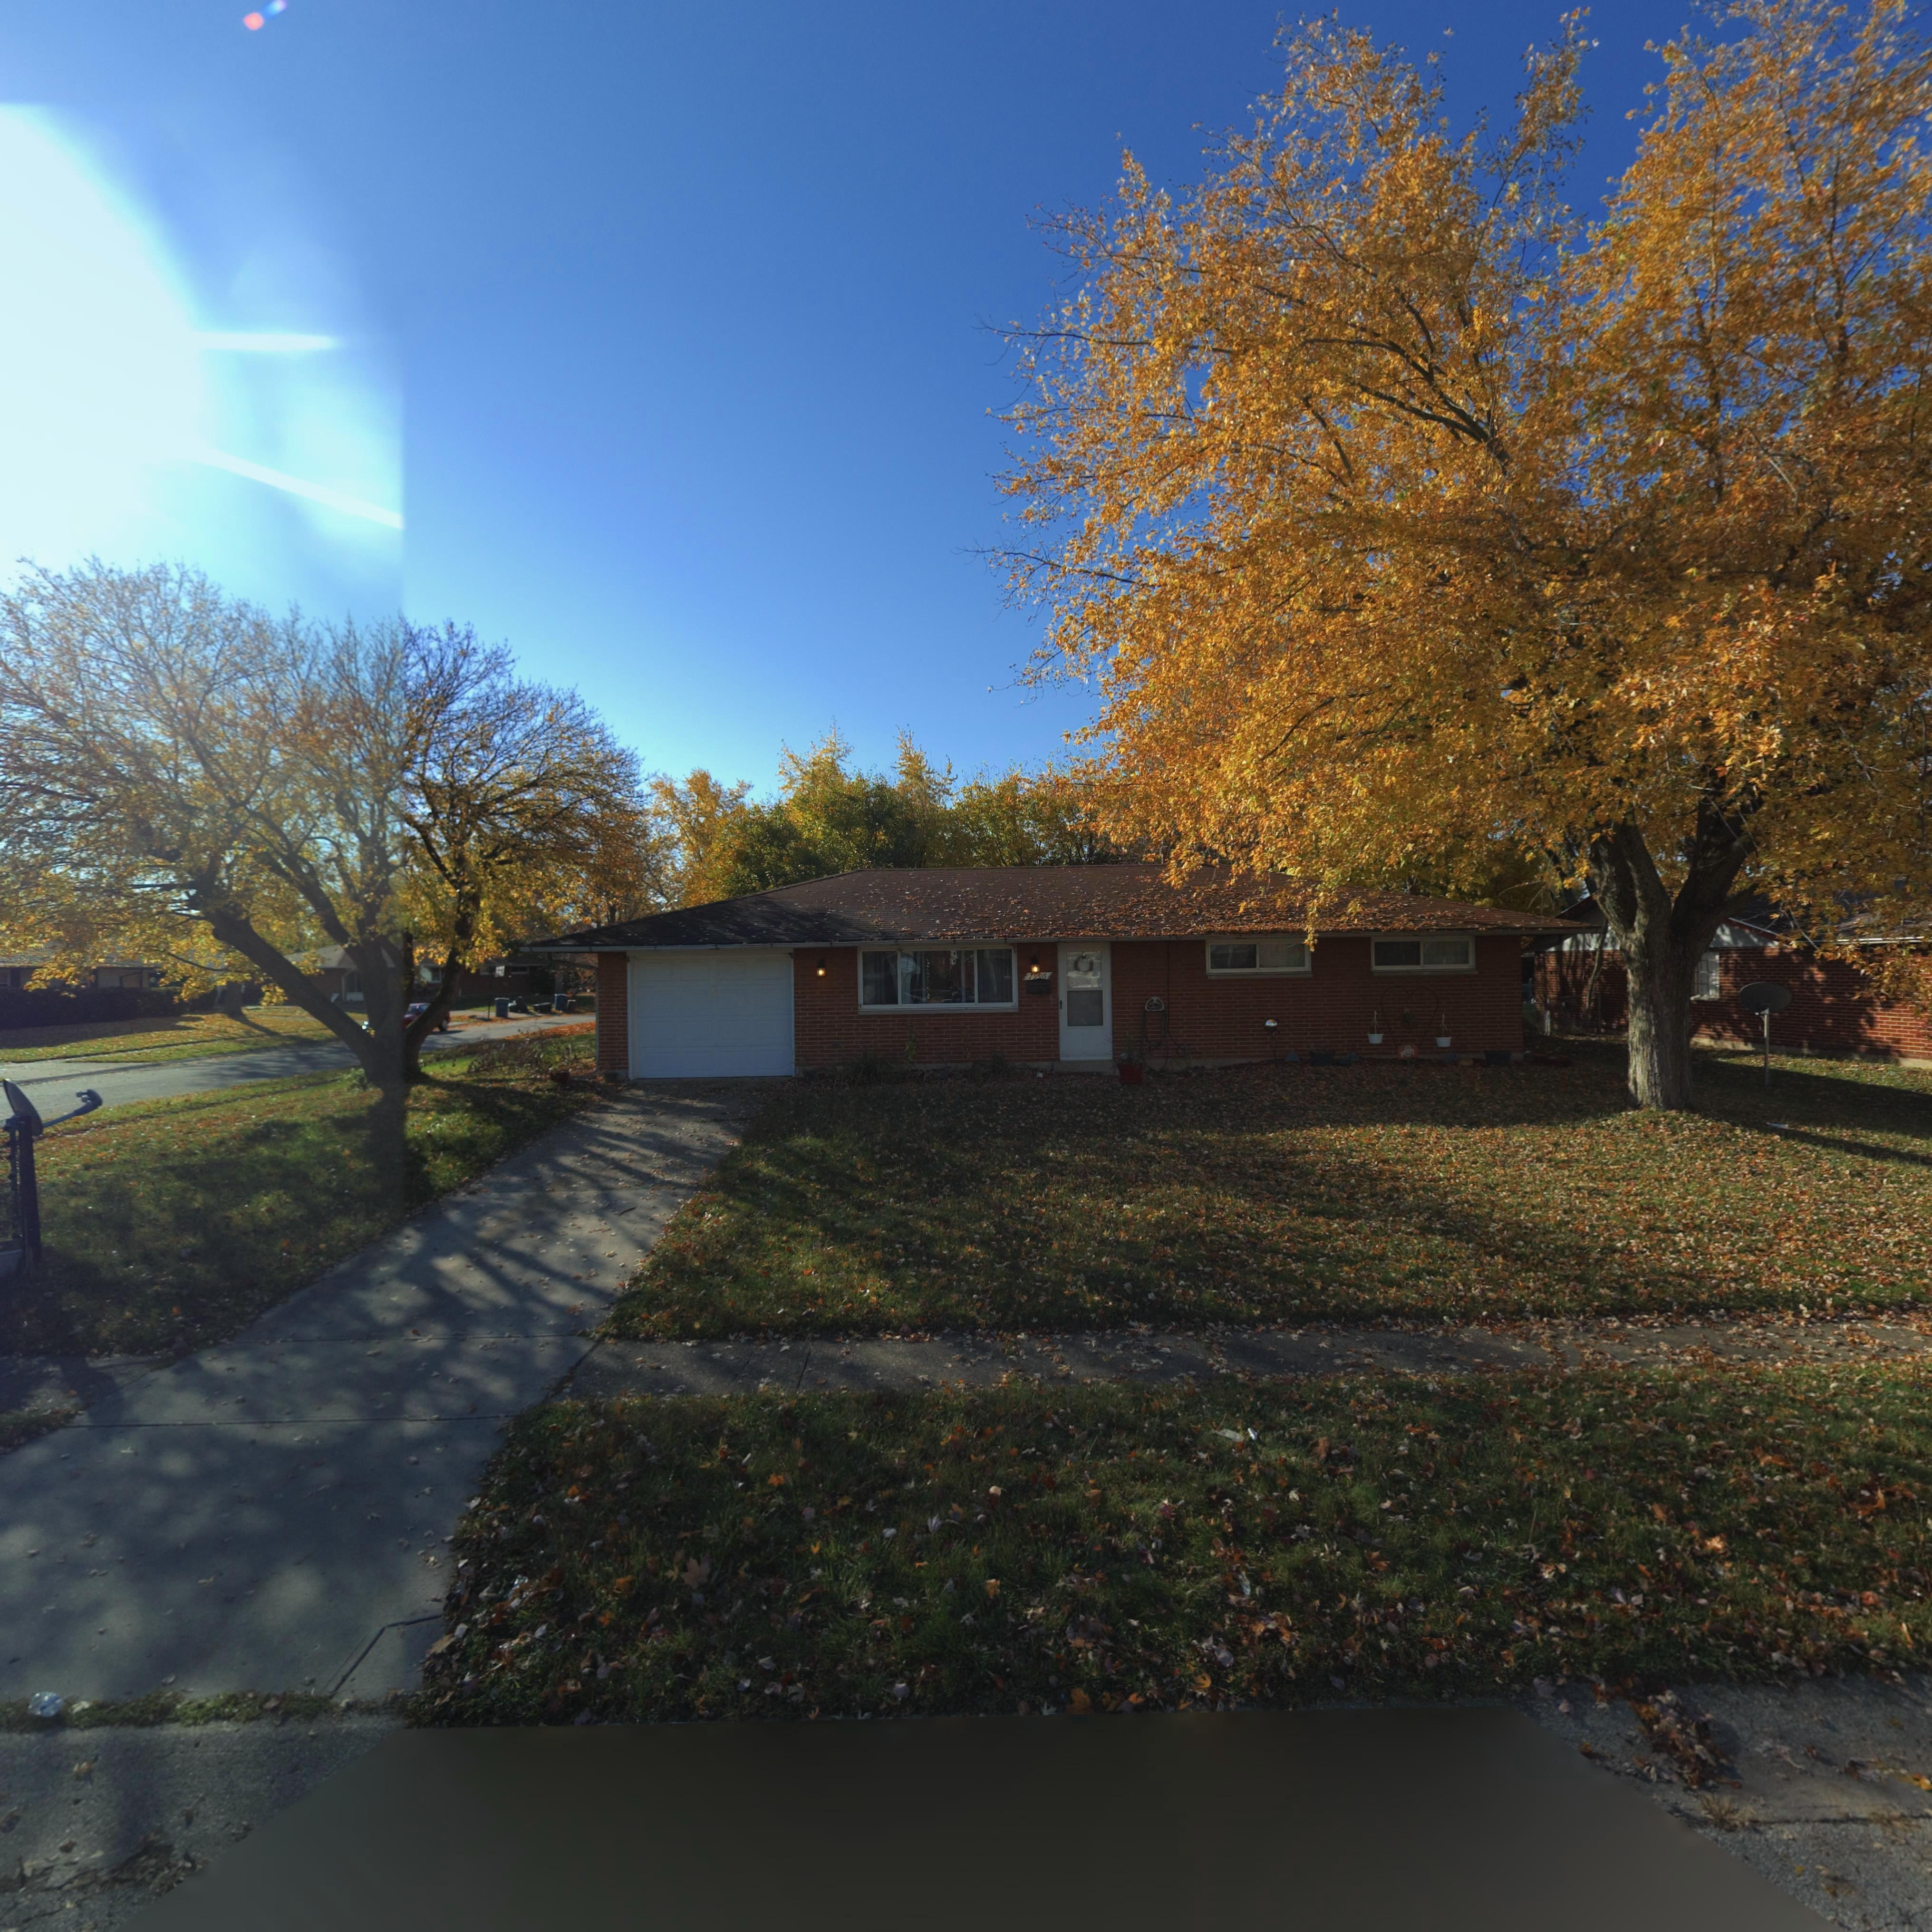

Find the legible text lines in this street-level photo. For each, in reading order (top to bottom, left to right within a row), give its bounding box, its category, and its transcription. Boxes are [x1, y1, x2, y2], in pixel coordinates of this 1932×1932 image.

[1027, 972, 1047, 980] StreetNumber: 7996